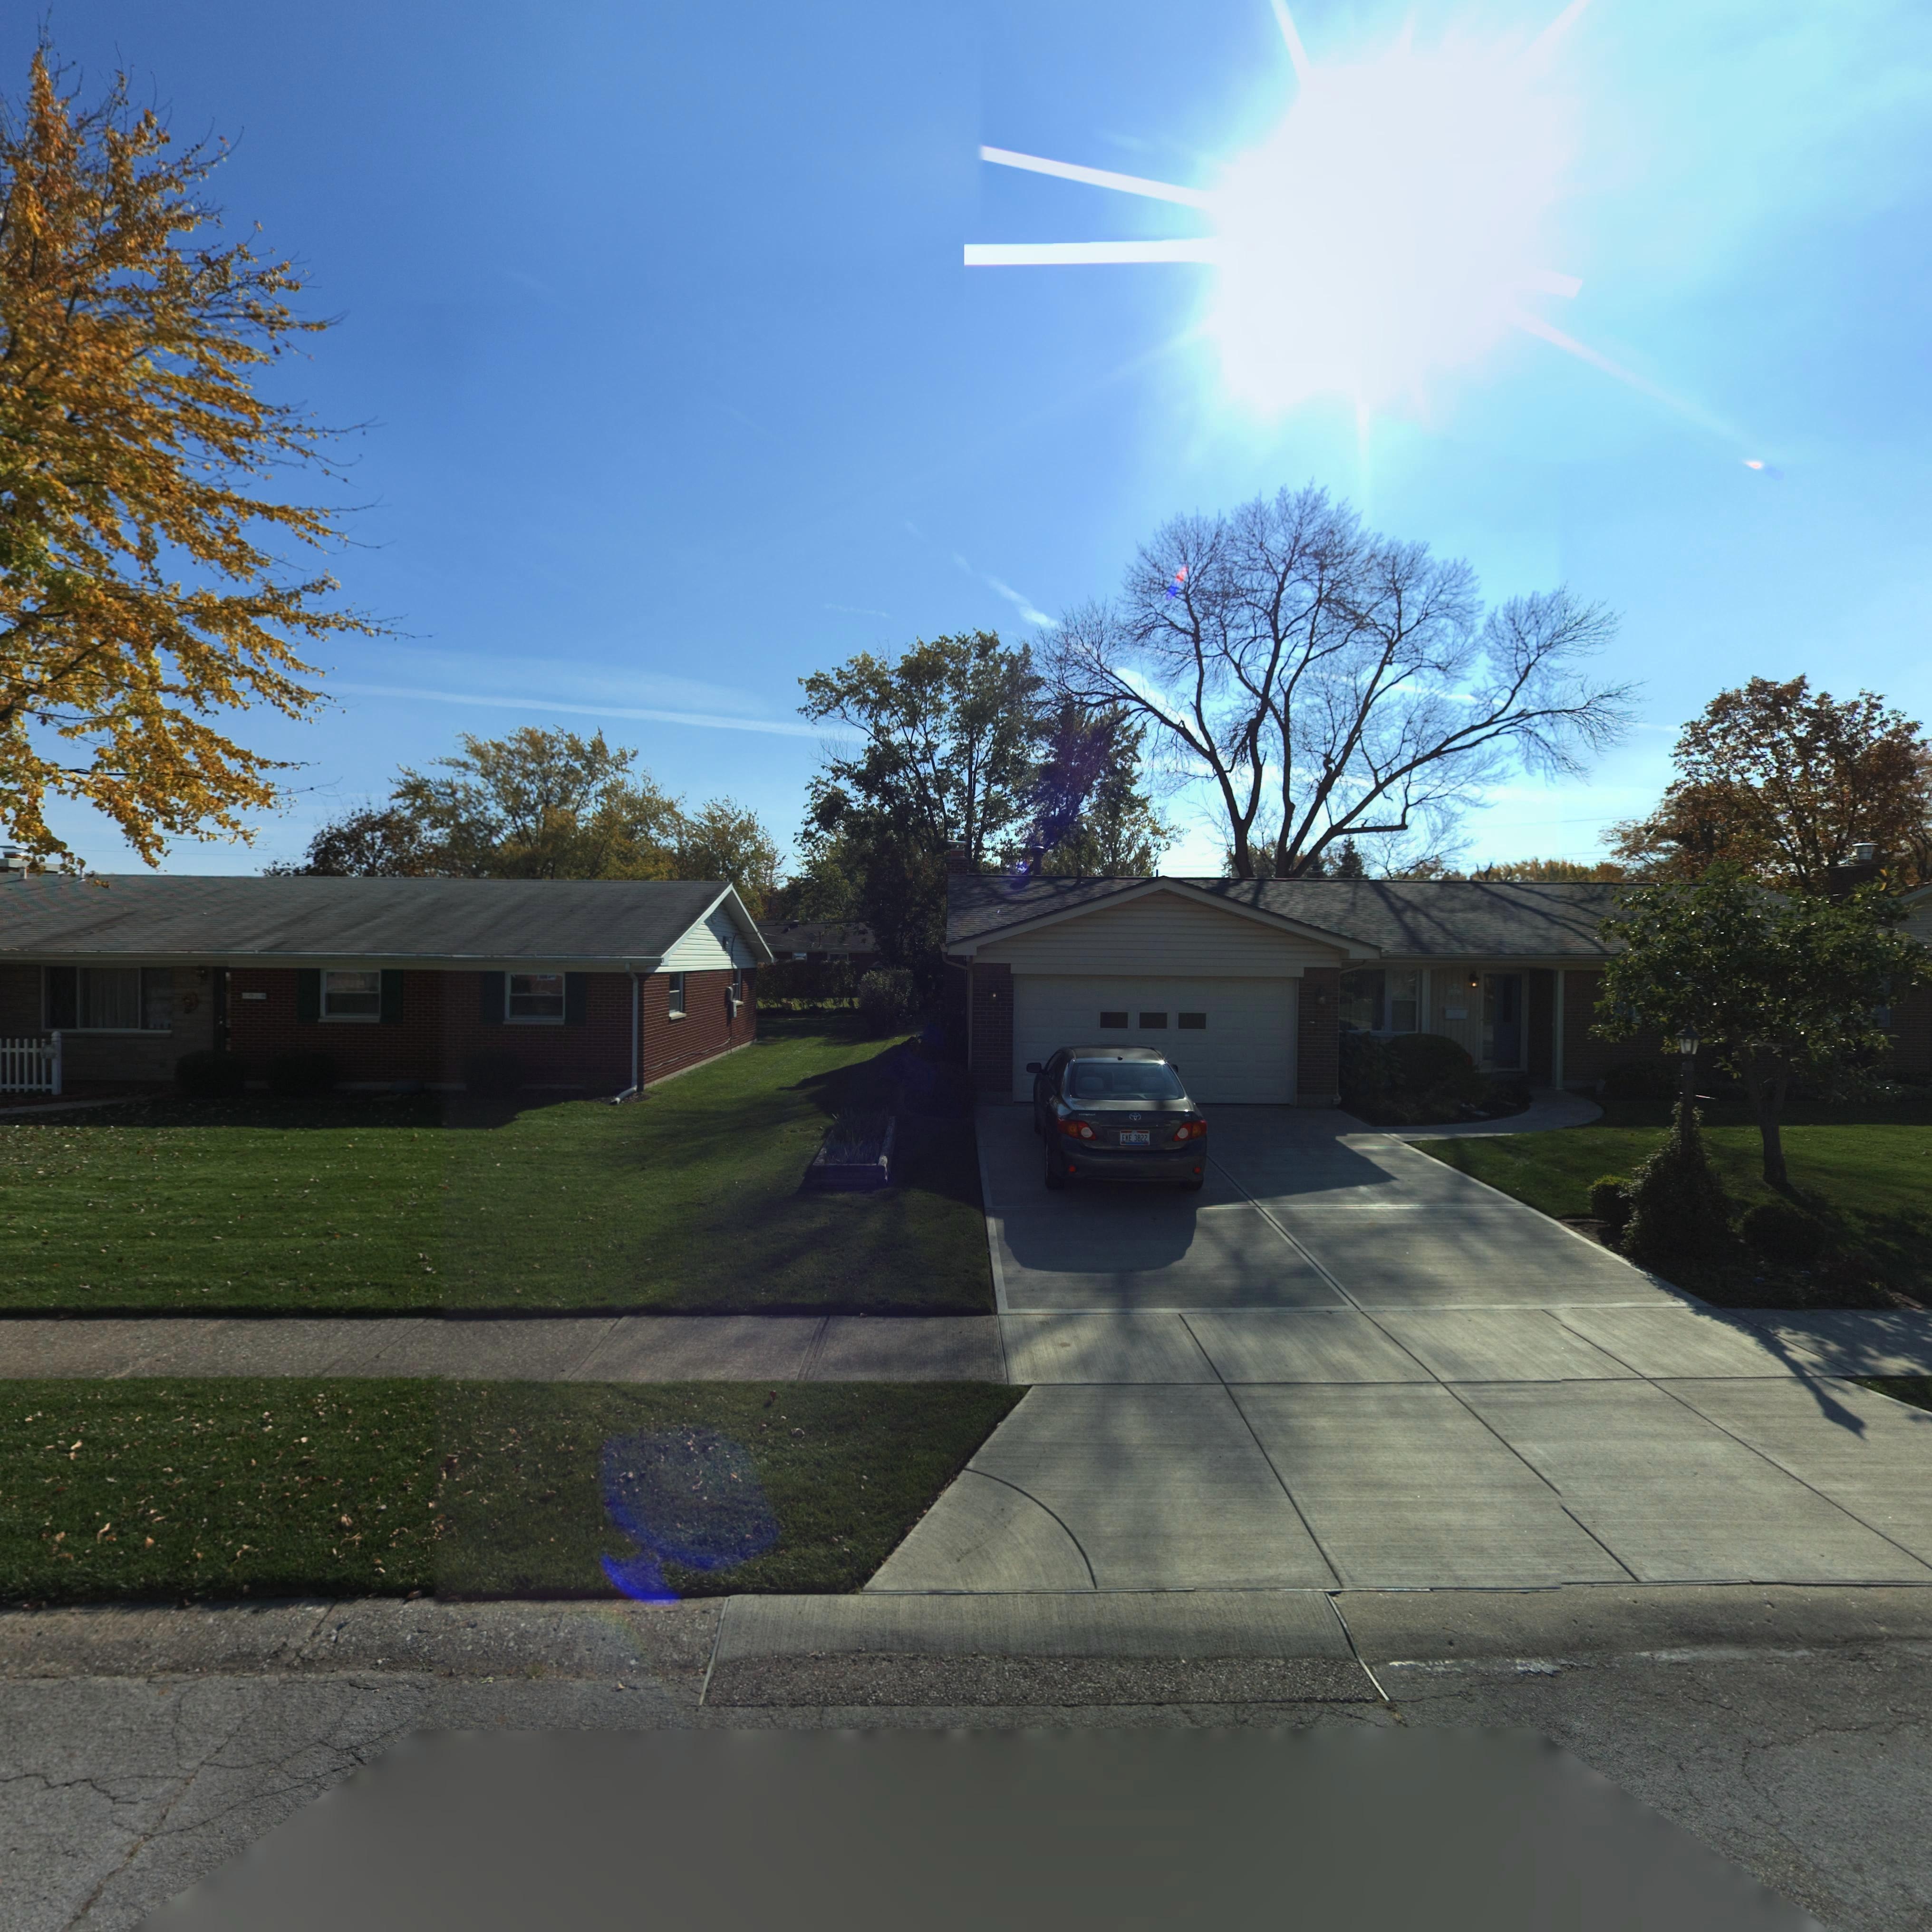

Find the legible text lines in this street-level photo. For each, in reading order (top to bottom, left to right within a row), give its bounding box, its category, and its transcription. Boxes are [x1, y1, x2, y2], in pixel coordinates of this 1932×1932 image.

[243, 993, 265, 998] StreetNumber: *0**